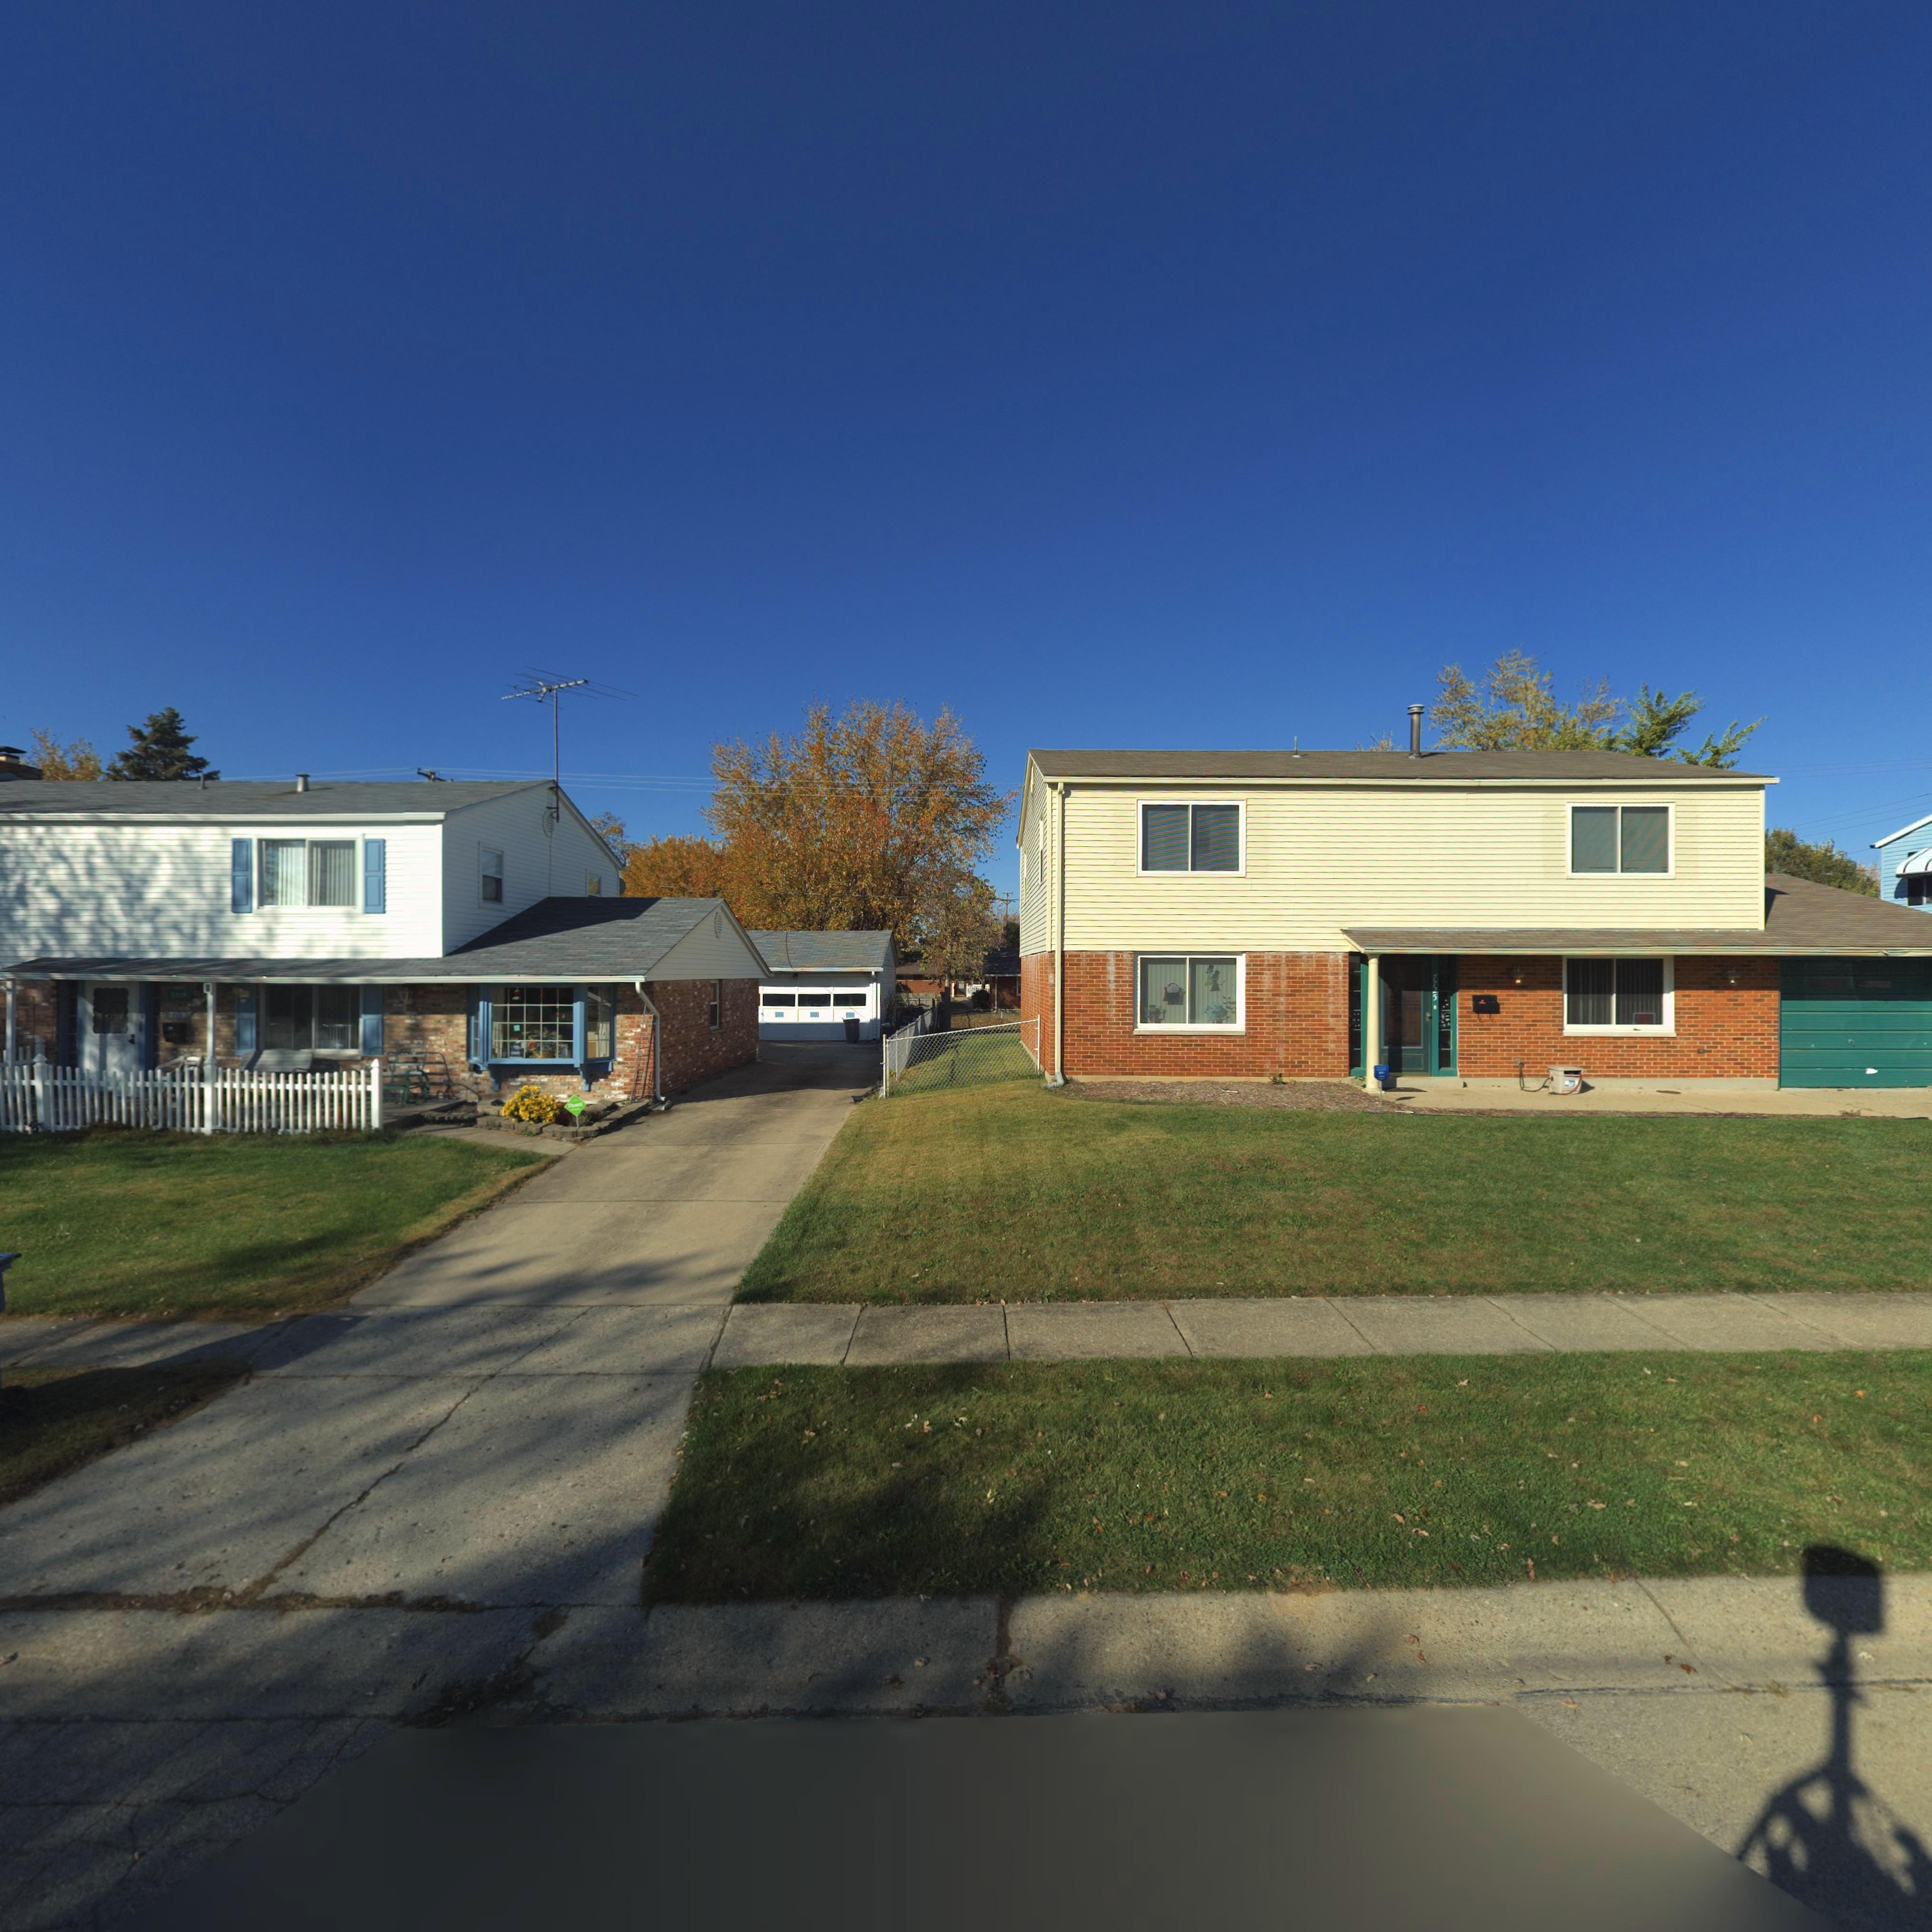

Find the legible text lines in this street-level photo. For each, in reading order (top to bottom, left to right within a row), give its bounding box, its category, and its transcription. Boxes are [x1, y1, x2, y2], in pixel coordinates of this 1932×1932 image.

[1431, 972, 1438, 1002] StreetNumber: 7725
[170, 992, 188, 999] StreetNumber: 7719
[168, 1012, 188, 1019] StreetNumber: 7719